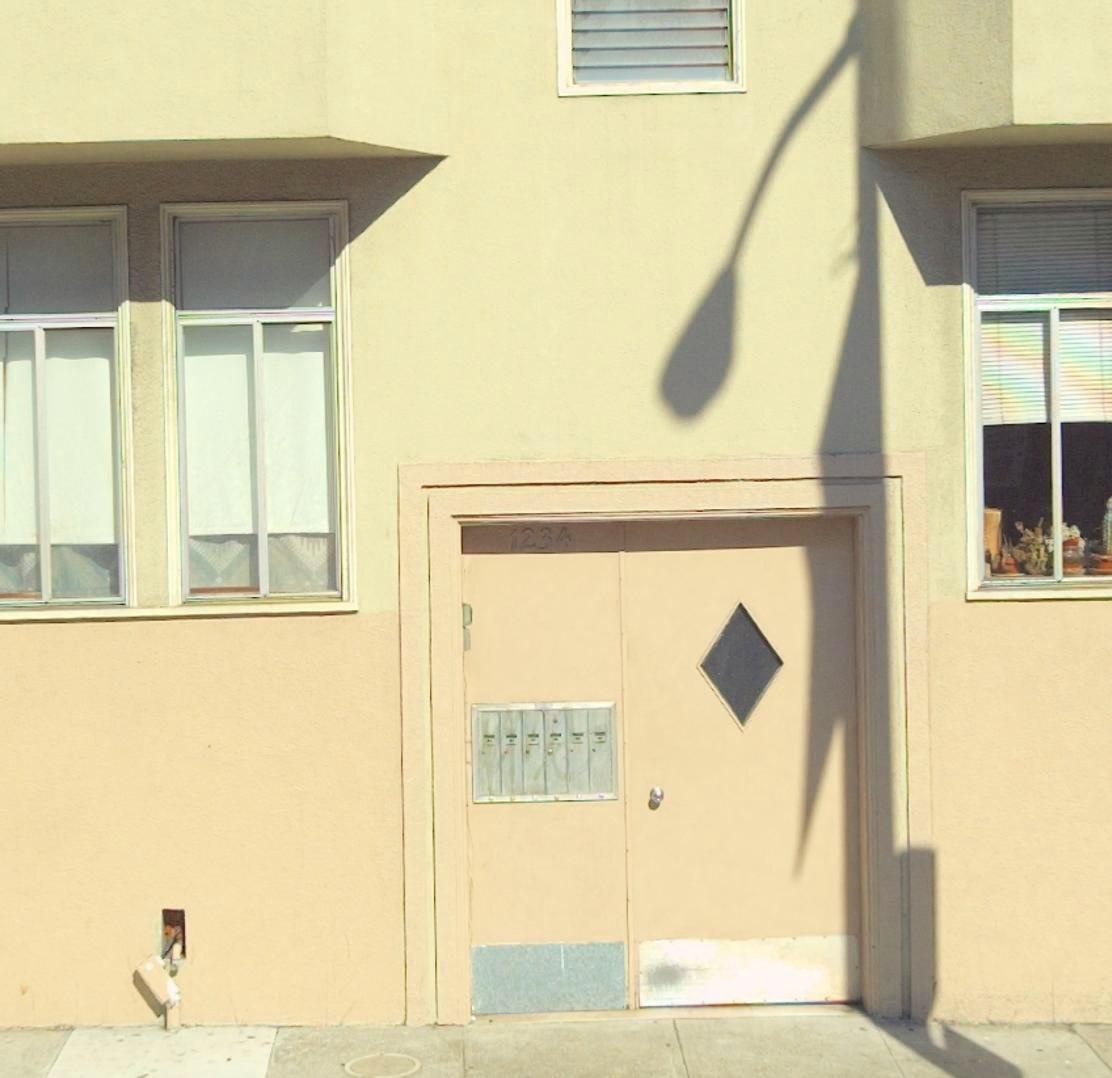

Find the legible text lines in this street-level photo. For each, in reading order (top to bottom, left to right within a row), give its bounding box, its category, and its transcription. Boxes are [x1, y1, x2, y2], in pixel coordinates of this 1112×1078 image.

[508, 525, 575, 553] StreetNumber: 1234